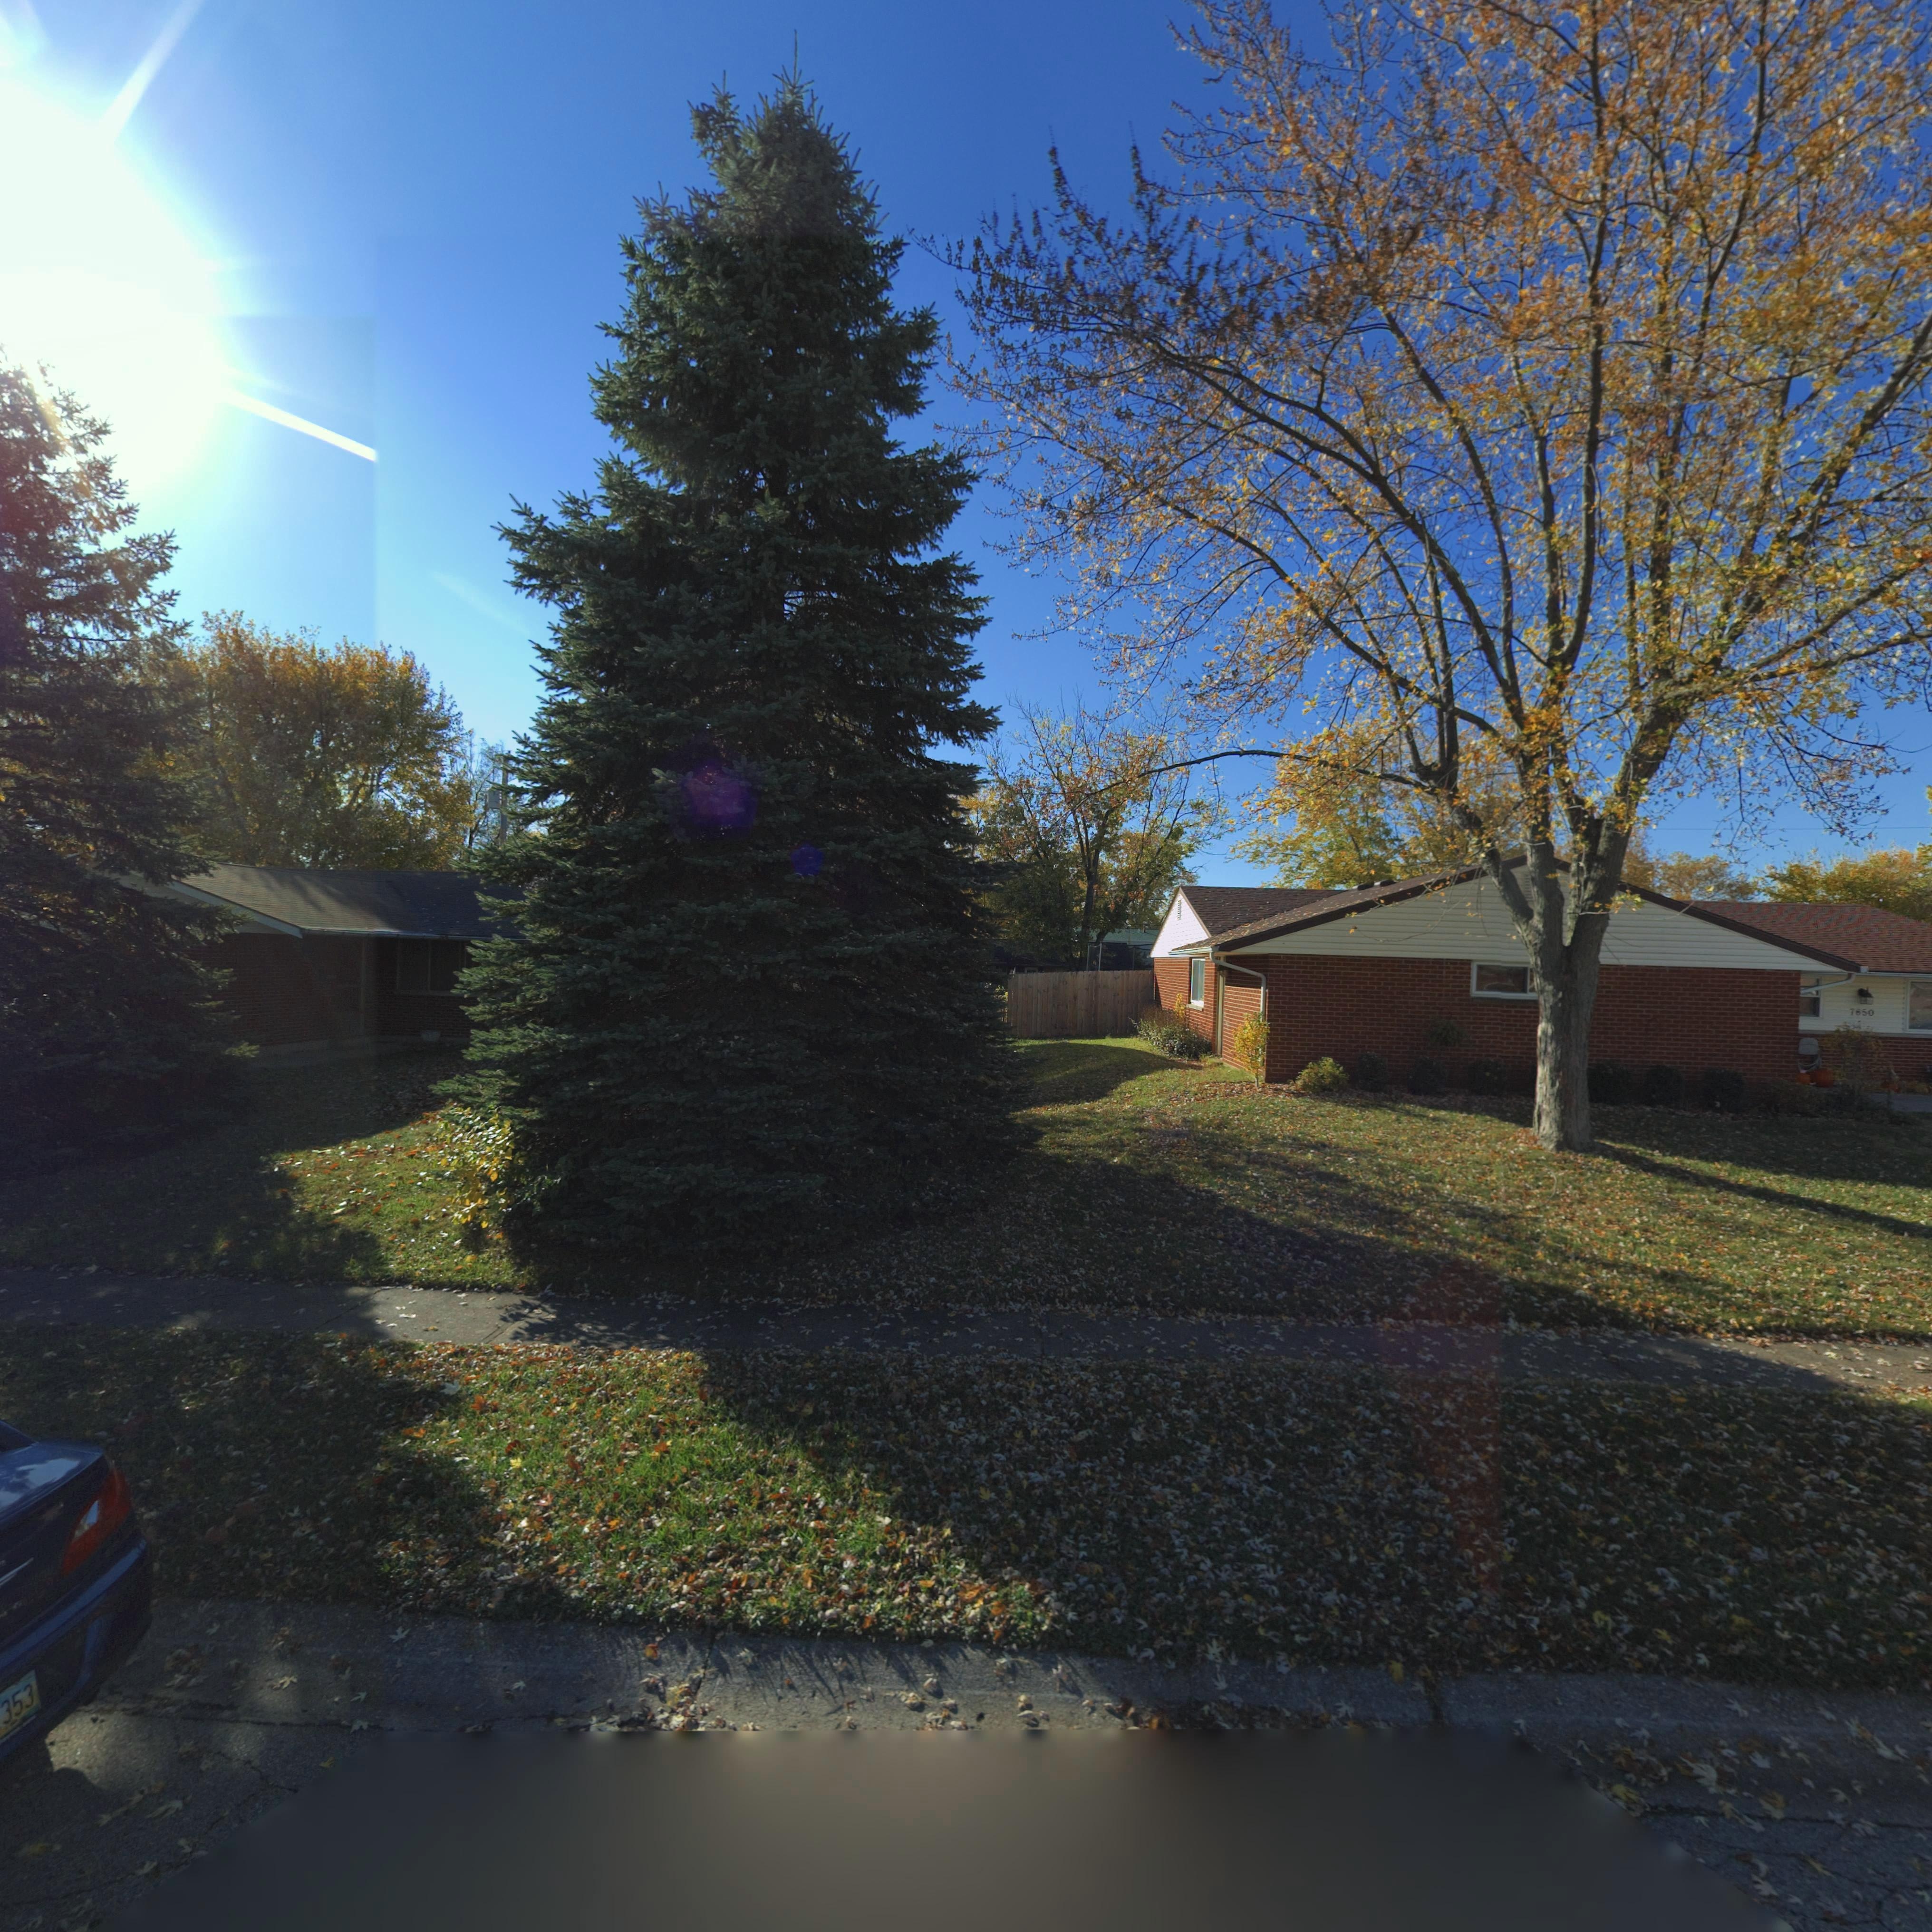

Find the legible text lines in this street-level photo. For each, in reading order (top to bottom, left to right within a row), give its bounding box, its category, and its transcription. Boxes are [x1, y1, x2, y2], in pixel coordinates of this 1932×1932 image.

[1849, 1008, 1874, 1017] StreetNumber: 7*50